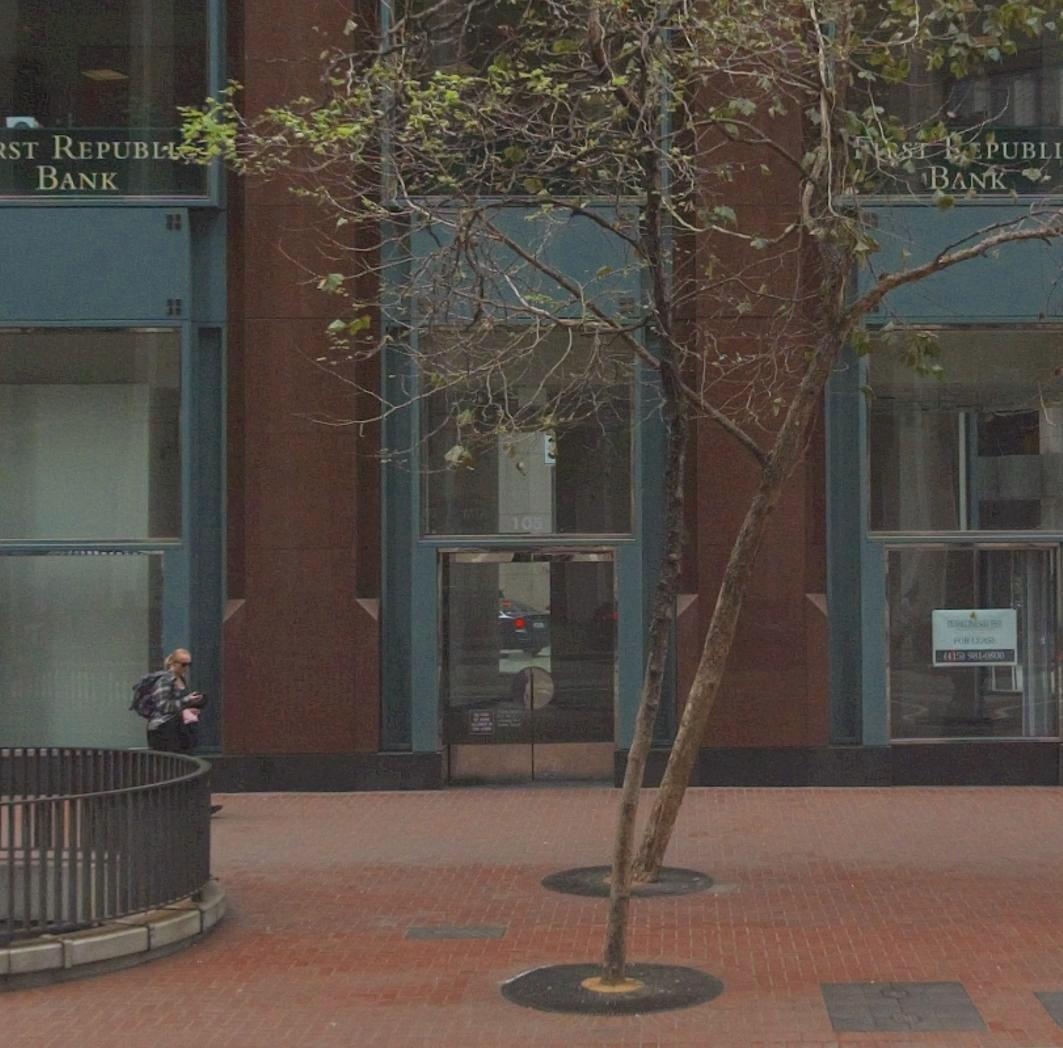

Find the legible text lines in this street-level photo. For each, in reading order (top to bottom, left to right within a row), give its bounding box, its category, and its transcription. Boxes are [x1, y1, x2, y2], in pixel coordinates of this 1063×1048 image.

[6, 131, 168, 163] BusinessName: ST REPUBL
[984, 140, 1062, 162] BusinessName: PUBLI
[34, 163, 123, 192] BusinessName: BANK
[927, 163, 1009, 191] BusinessName: BANK
[510, 514, 545, 533] StreetNumber: 105